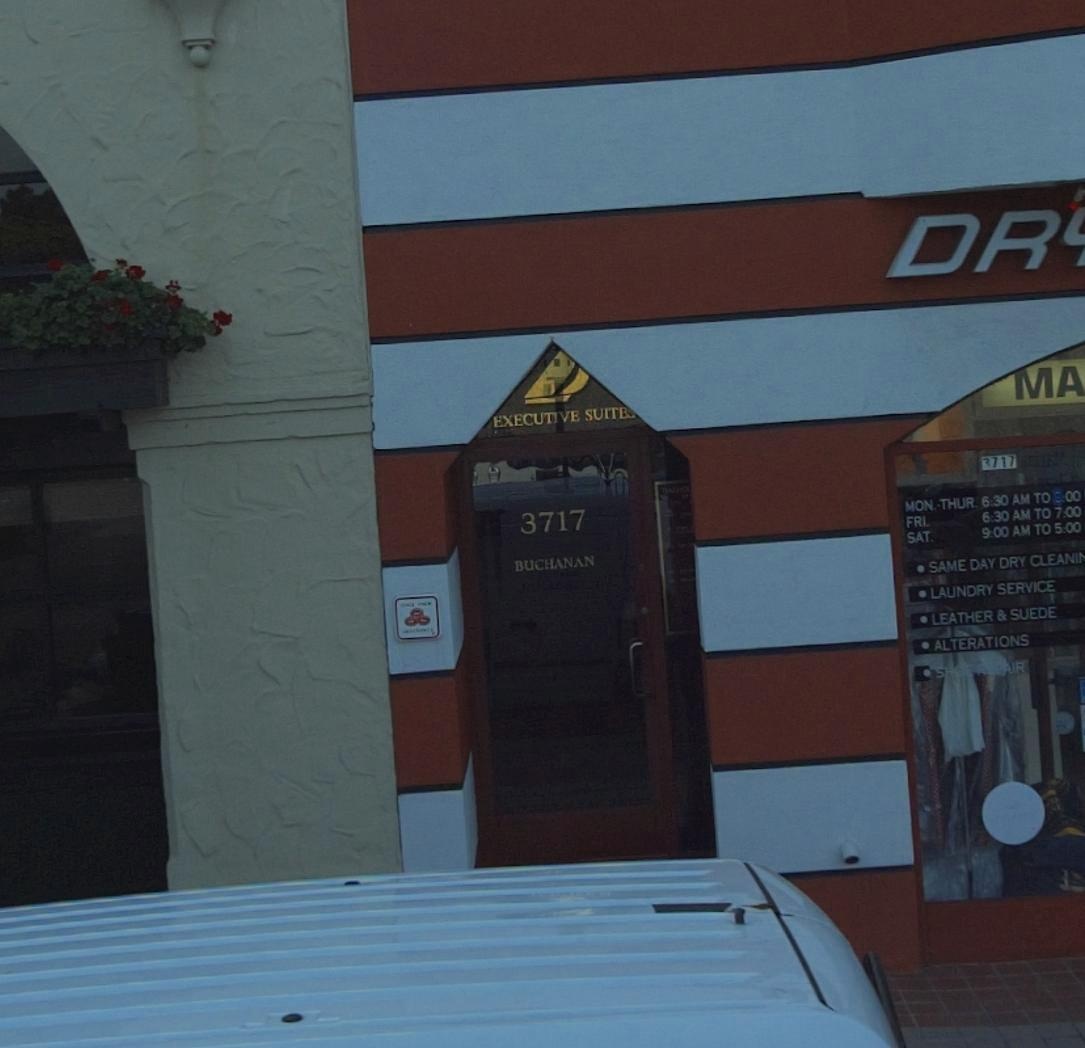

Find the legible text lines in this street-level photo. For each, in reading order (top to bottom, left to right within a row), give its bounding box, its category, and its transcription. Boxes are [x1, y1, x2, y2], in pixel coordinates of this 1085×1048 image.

[883, 206, 1064, 282] BusinessName: DR\
[1013, 363, 1085, 403] None: MA
[491, 404, 629, 431] None: EXECUTIVE SUITE
[981, 453, 1016, 471] StreetNumber: *717
[902, 488, 1082, 515] None: MON.THUR. 6:30 AM TO *:00
[519, 506, 589, 538] StreetNumber: 3717
[903, 513, 932, 530] None: FRI.
[904, 529, 936, 546] None: SAT.
[979, 504, 1083, 526] None: 6:30 AM TO 7:00
[979, 519, 1083, 542] None: 9:00 AM TO 5:00
[512, 552, 598, 575] StreetName: BUCHANAN
[925, 549, 1080, 576] None: SAME DAY DRY CLEANI
[928, 577, 1059, 602] None: LAUNDRY SERVICE
[929, 603, 1060, 628] None: LEATHER & SUEDE
[931, 631, 1032, 654] None: ALTERATIONS
[933, 665, 948, 681] None: S
[1010, 659, 1028, 675] None: IR